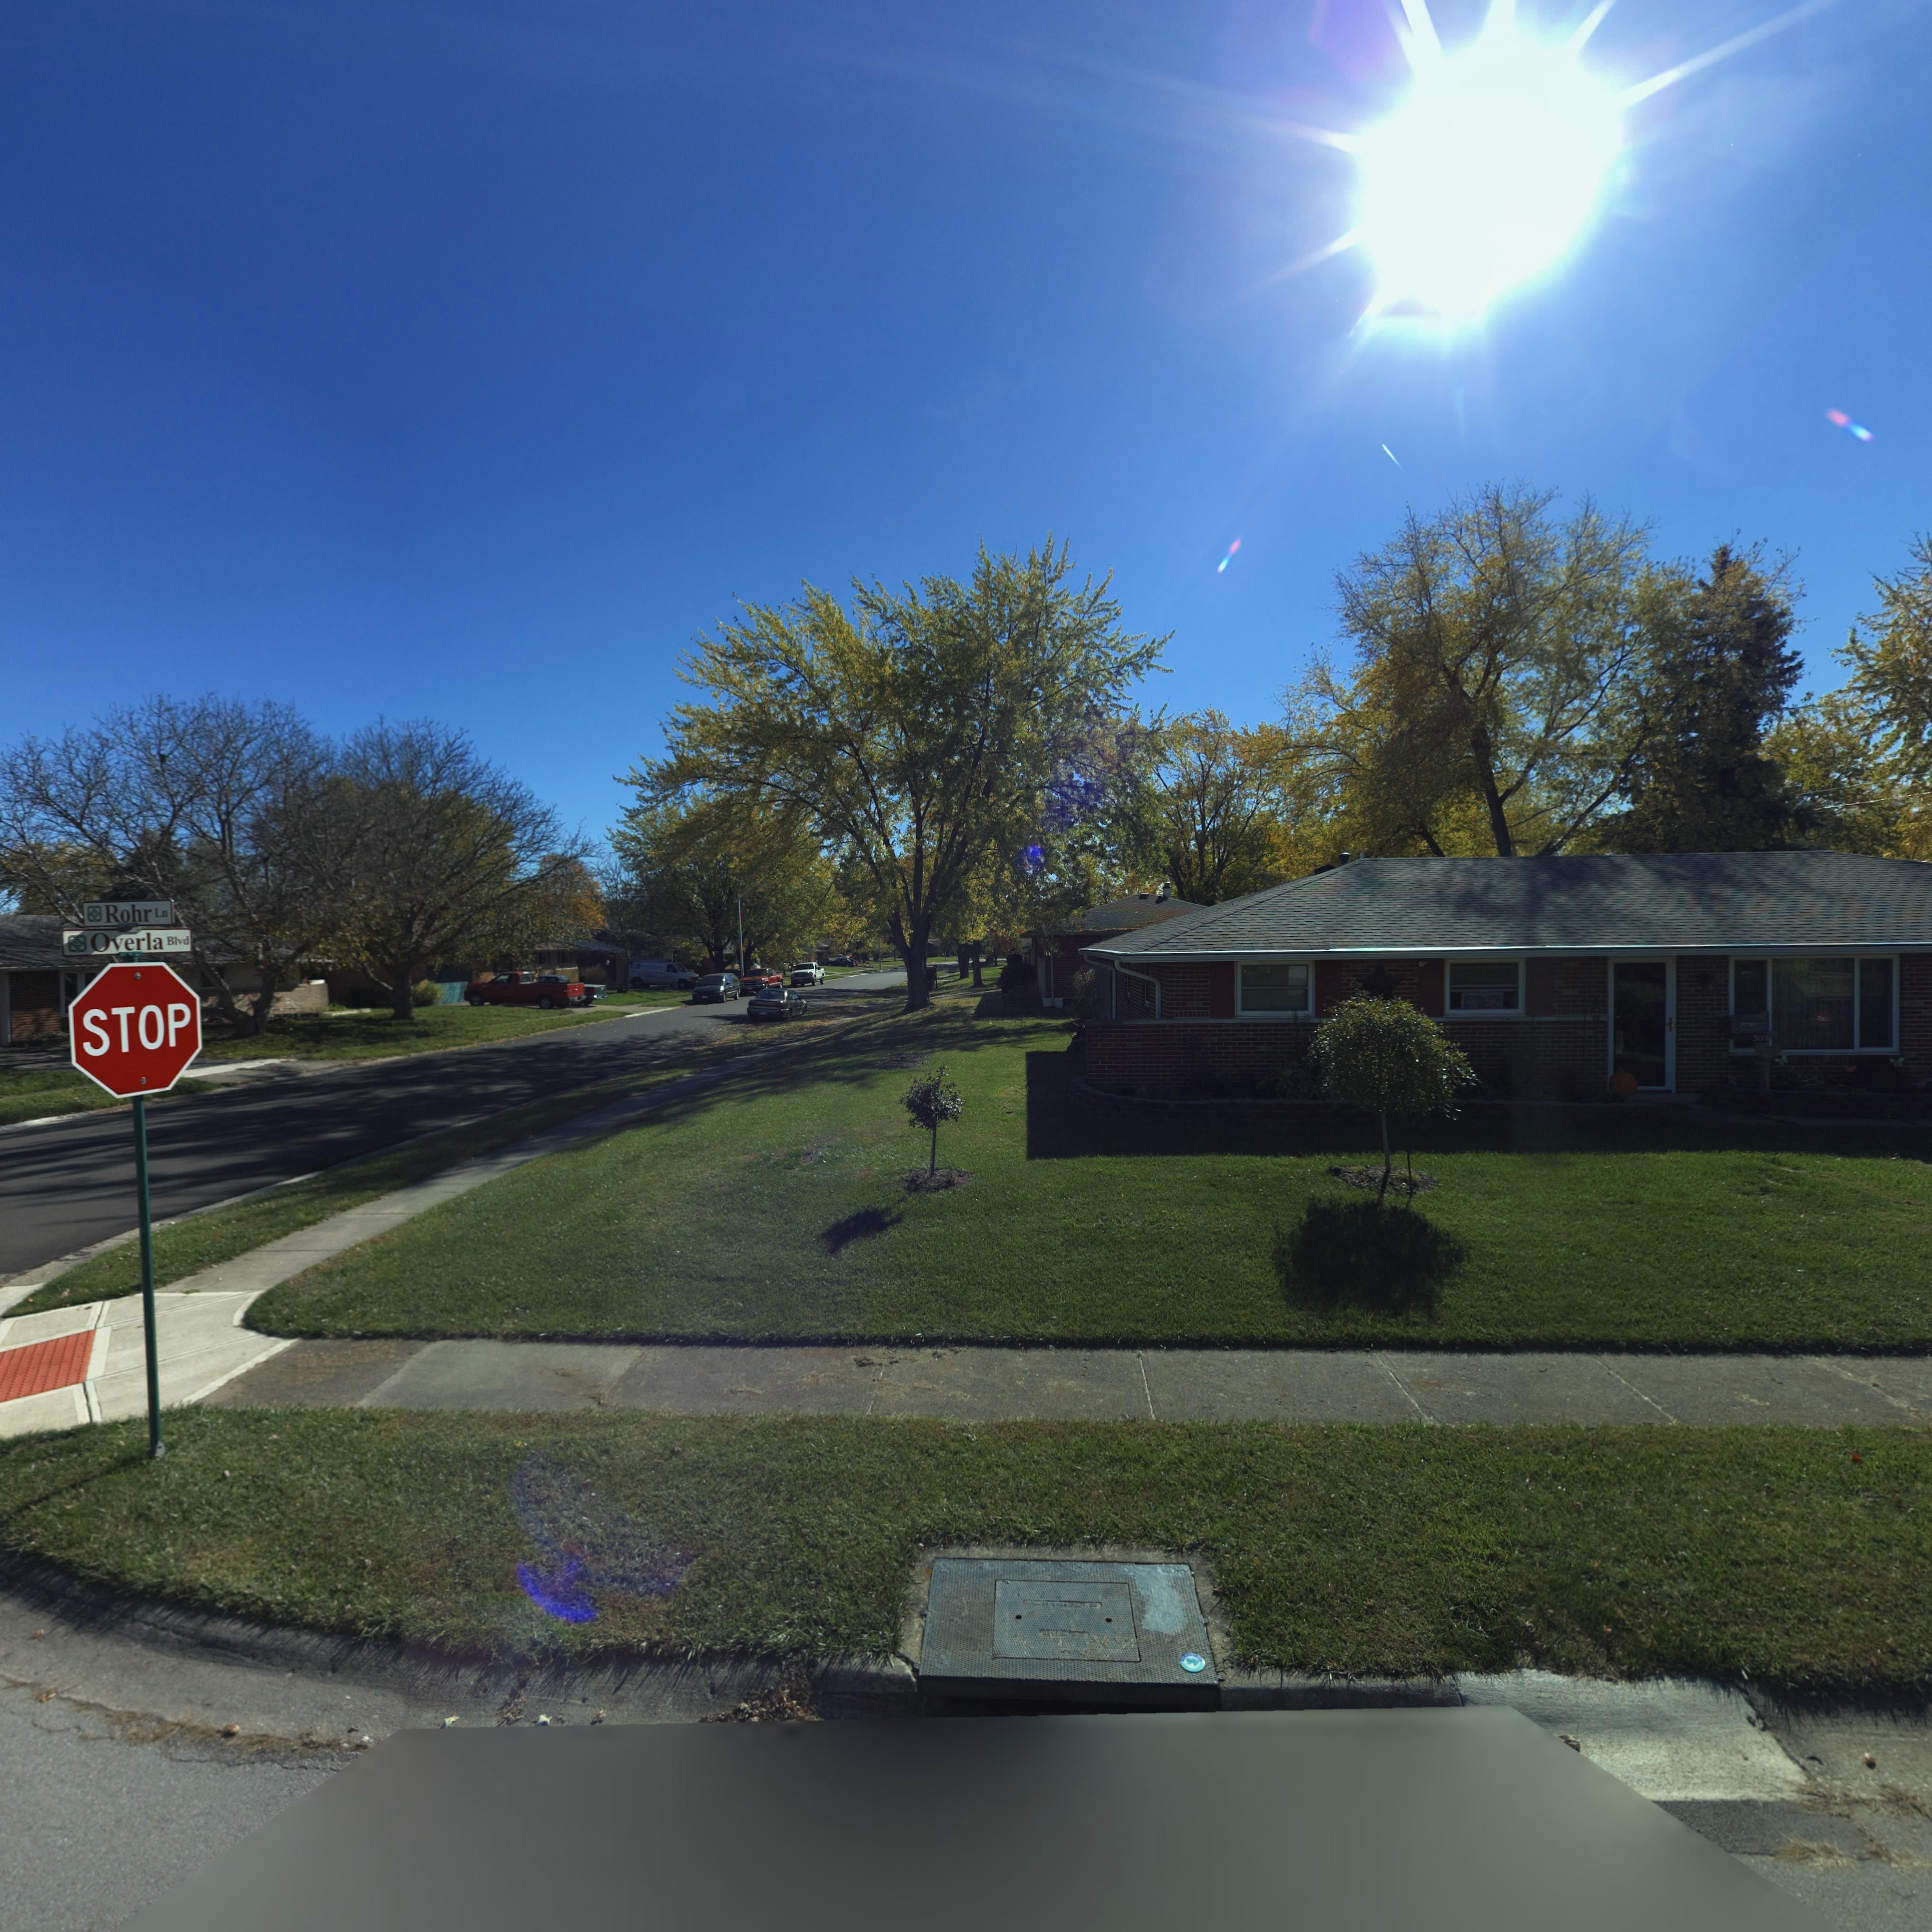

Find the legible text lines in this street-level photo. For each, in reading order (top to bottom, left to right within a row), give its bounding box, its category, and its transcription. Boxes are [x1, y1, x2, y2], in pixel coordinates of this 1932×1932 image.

[1753, 1034, 1768, 1042] StreetNumber: 500